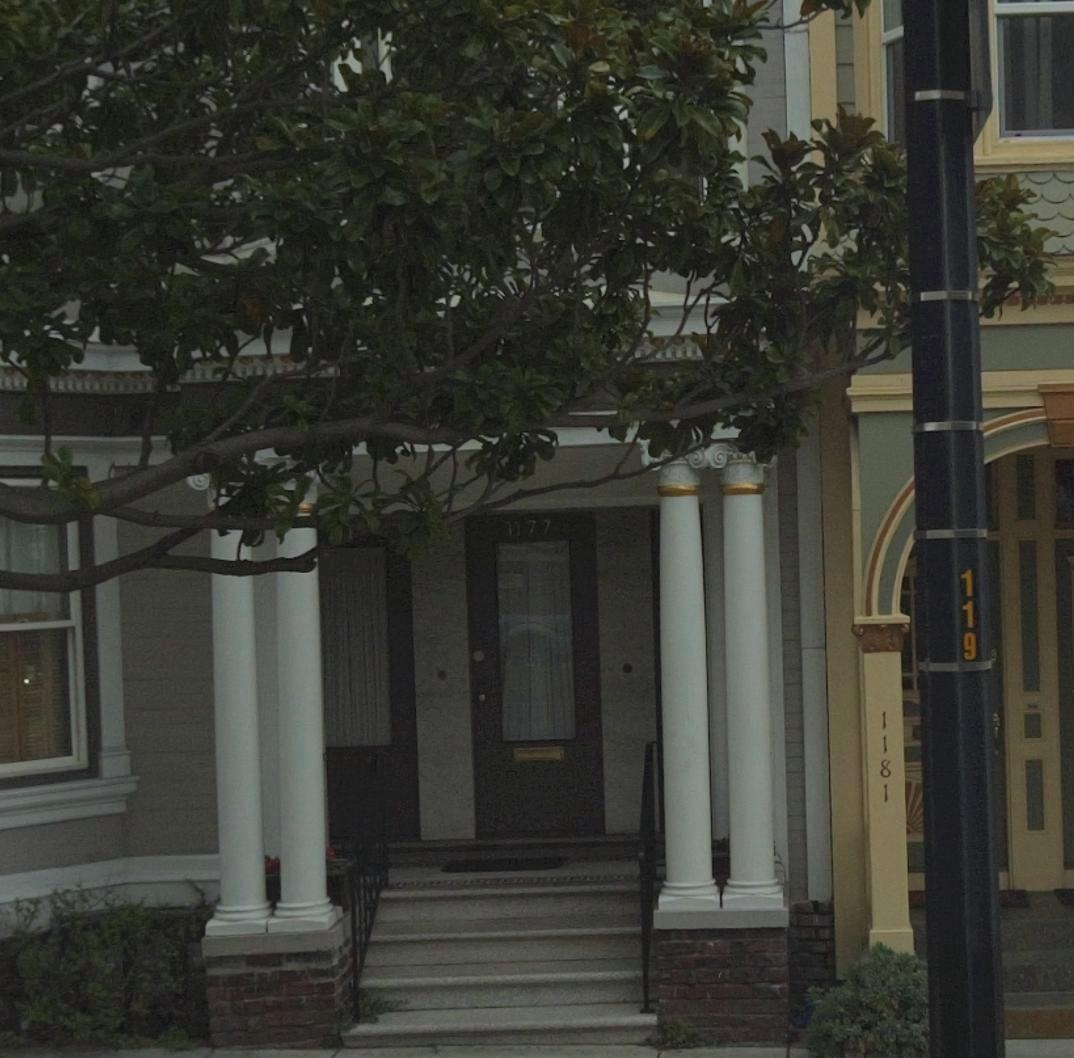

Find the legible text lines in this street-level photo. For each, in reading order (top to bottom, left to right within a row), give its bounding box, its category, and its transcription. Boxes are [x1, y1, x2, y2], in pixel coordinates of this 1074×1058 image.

[503, 518, 552, 538] StreetNumber: 1177
[958, 565, 978, 661] None: 119
[879, 708, 893, 805] StreetNumber: 1181